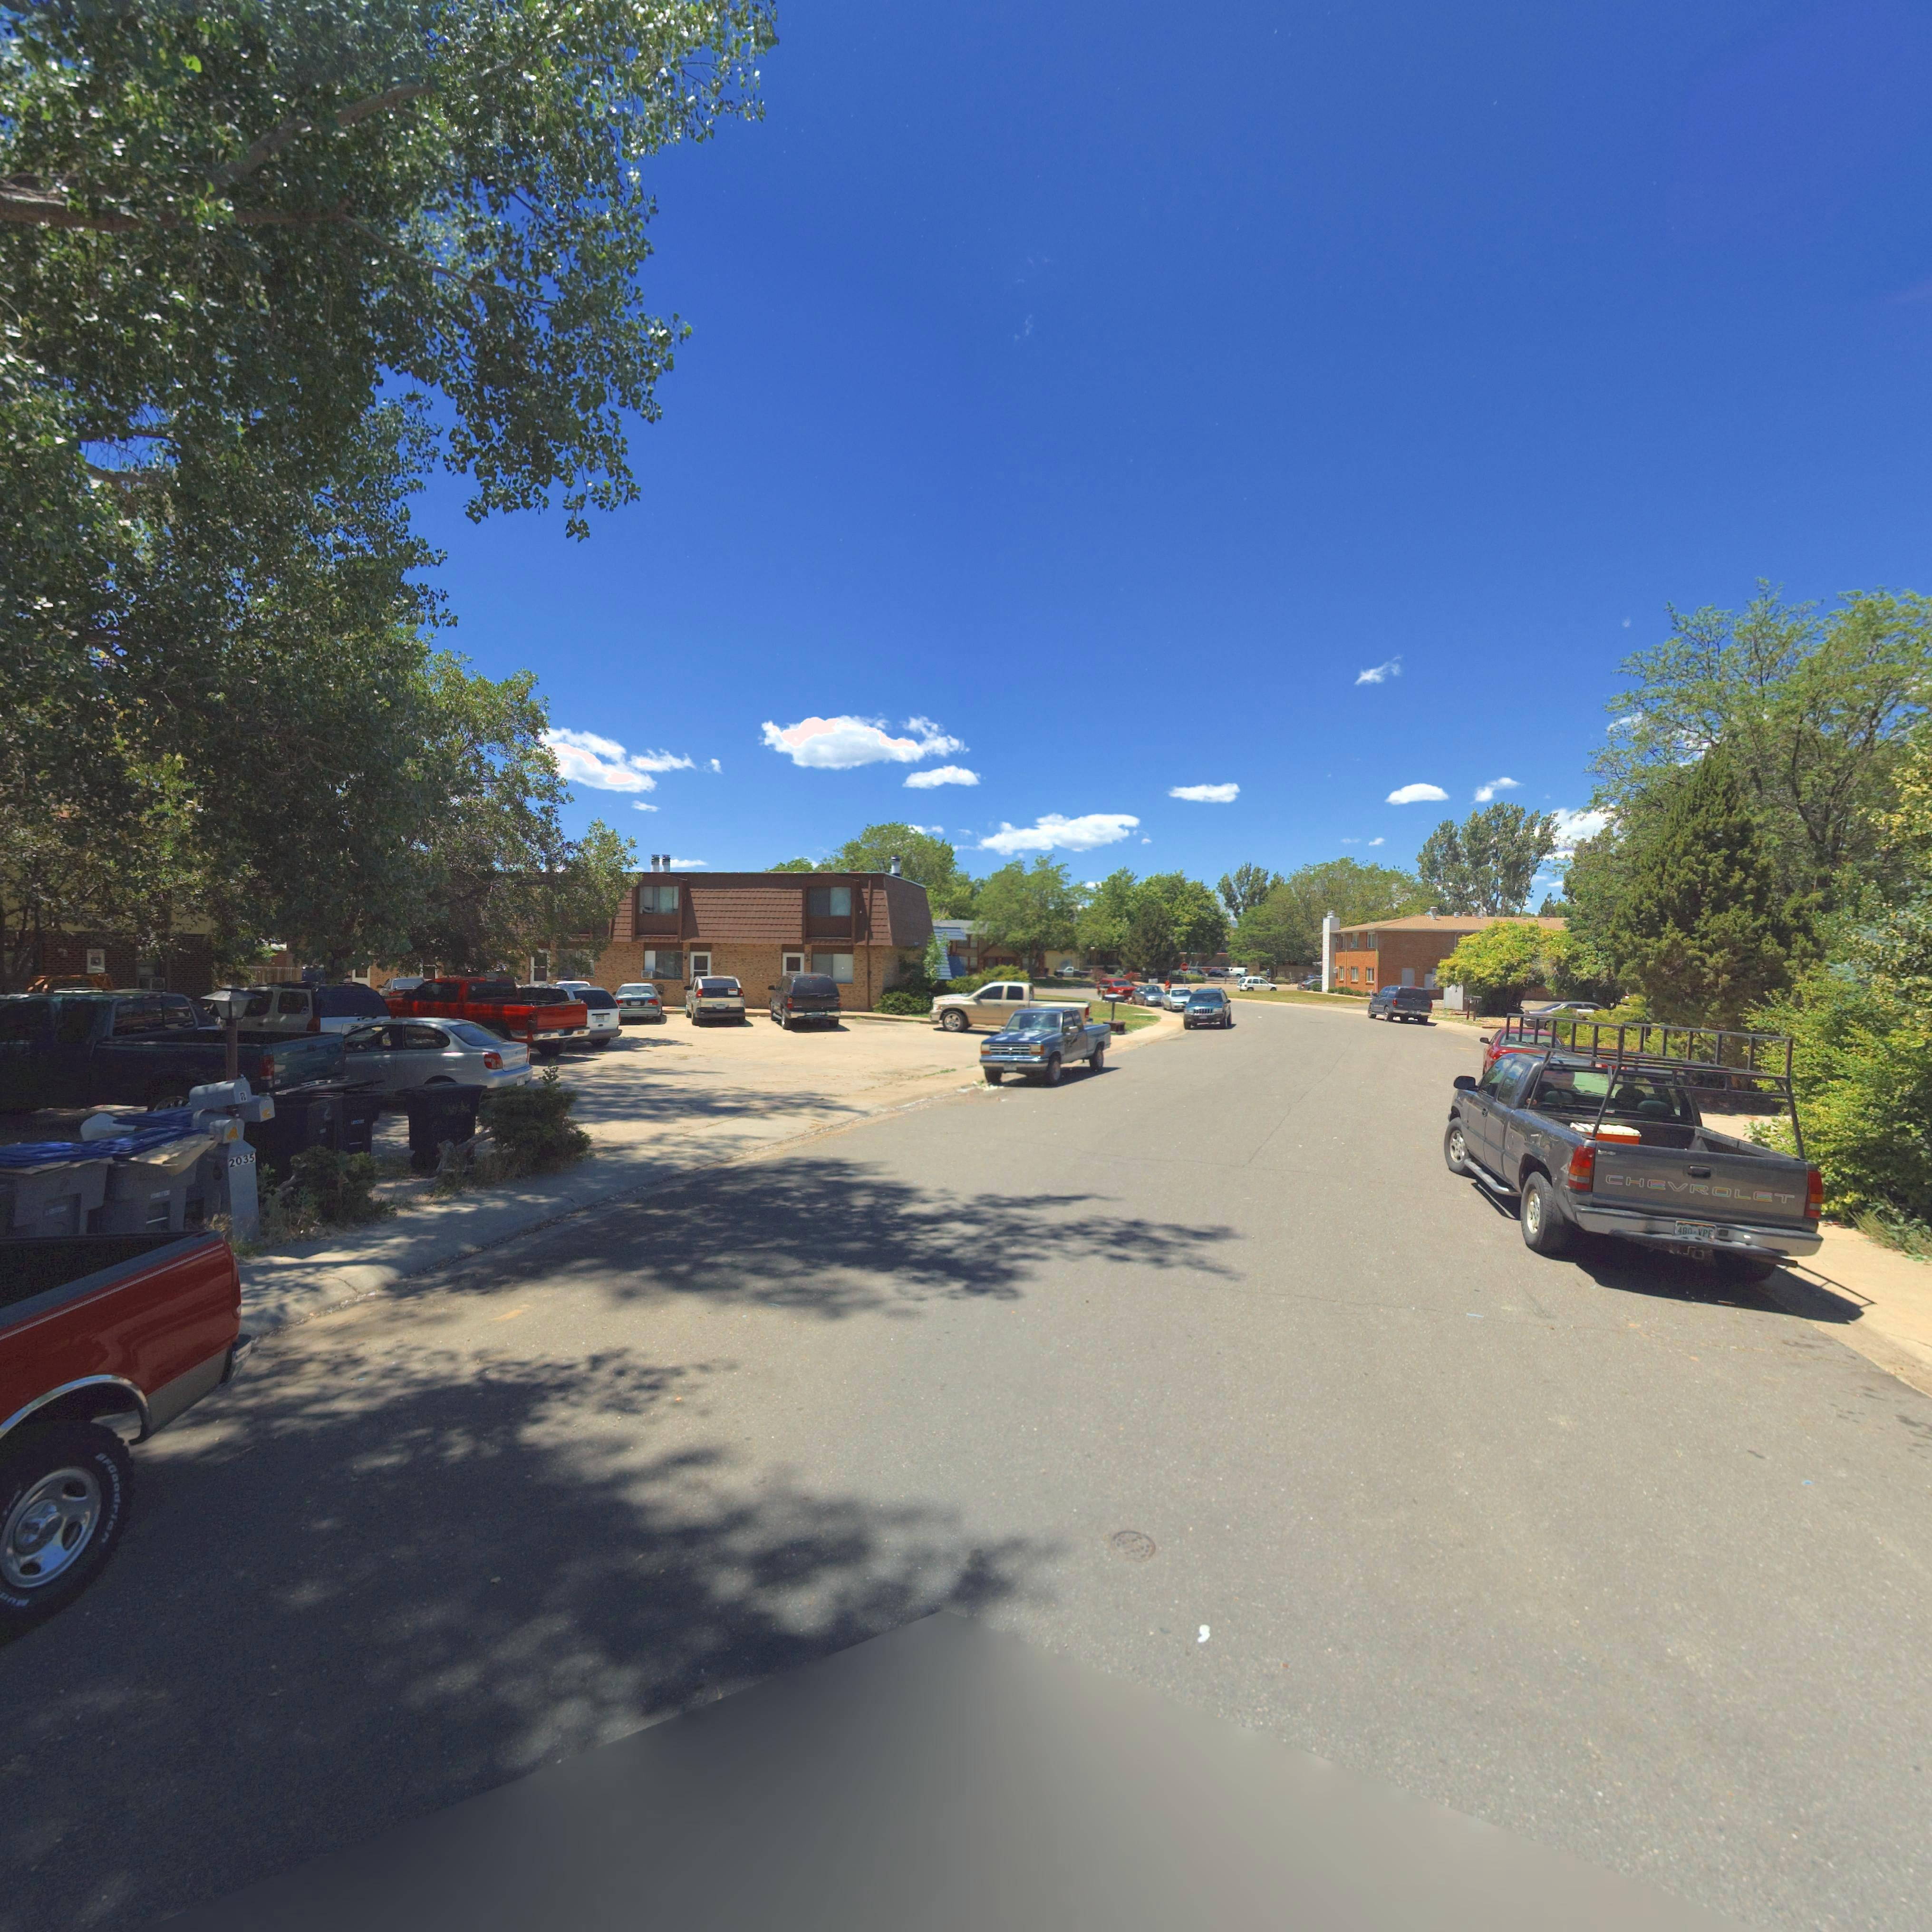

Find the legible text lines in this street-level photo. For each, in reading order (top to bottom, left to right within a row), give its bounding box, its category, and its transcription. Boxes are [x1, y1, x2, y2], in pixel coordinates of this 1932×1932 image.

[239, 1092, 247, 1101] StreetNumber: B
[261, 1107, 272, 1119] StreetNumber: C
[226, 1126, 240, 1140] StreetNumber: A
[228, 1152, 254, 1168] StreetNumber: 2035